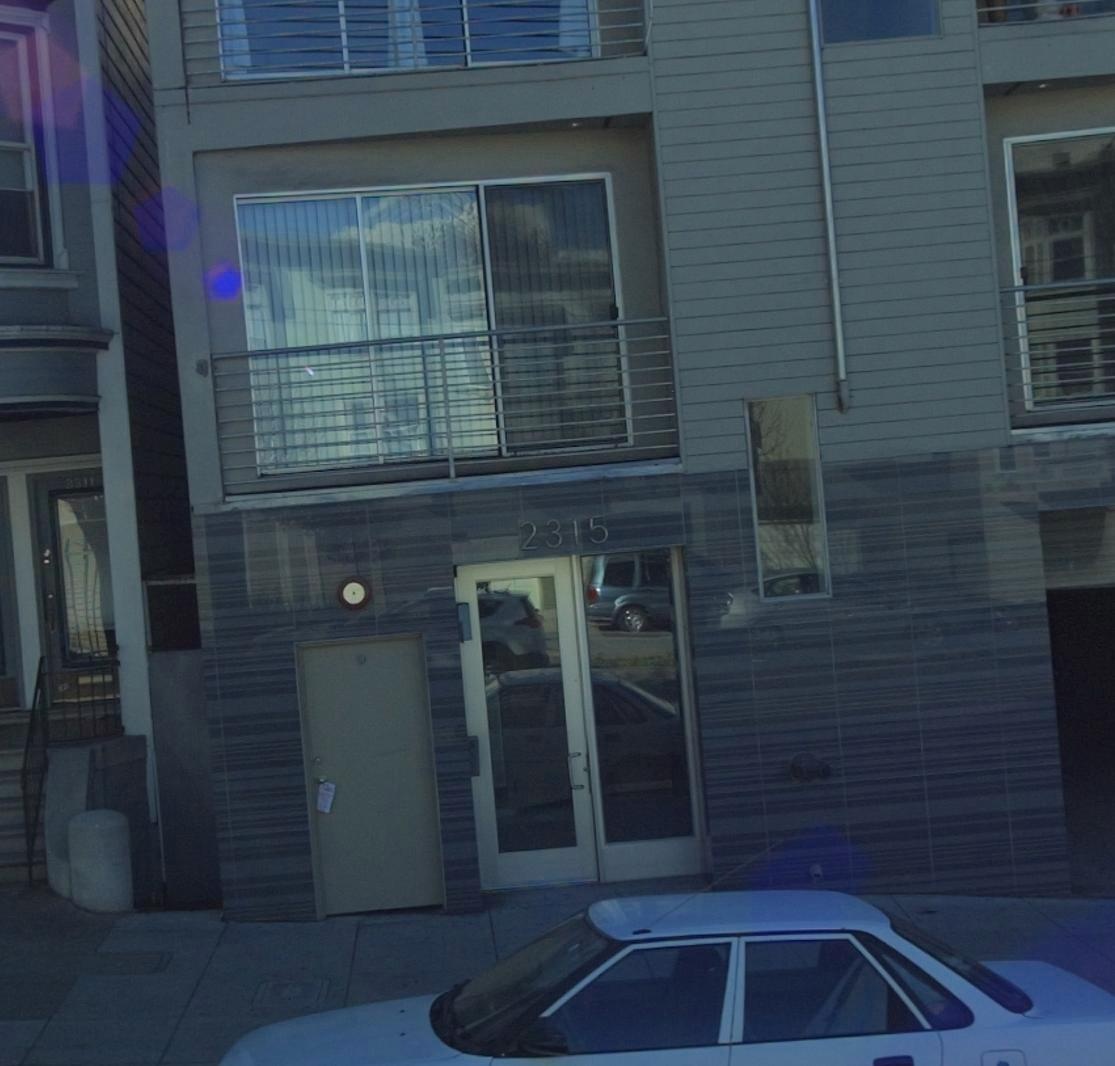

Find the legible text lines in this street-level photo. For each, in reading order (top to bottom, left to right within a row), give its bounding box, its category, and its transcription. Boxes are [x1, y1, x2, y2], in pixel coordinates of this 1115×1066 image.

[64, 474, 96, 490] StreetNumber: 2311
[516, 511, 612, 554] StreetNumber: 2315